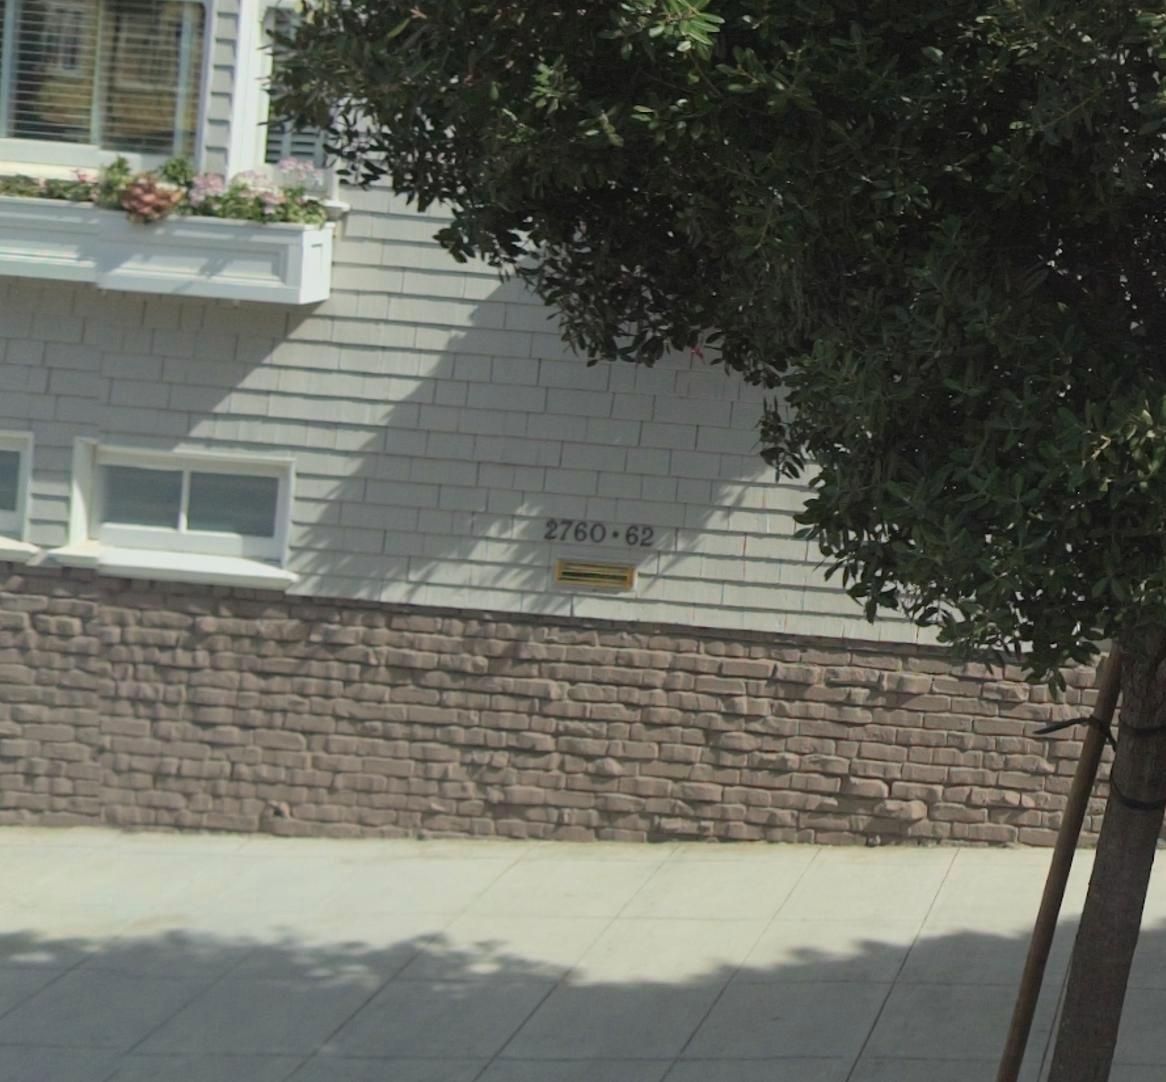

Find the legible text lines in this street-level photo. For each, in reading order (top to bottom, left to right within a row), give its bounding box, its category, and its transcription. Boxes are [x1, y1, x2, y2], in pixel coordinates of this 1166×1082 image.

[538, 515, 657, 550] StreetNumber: 2760 * 62